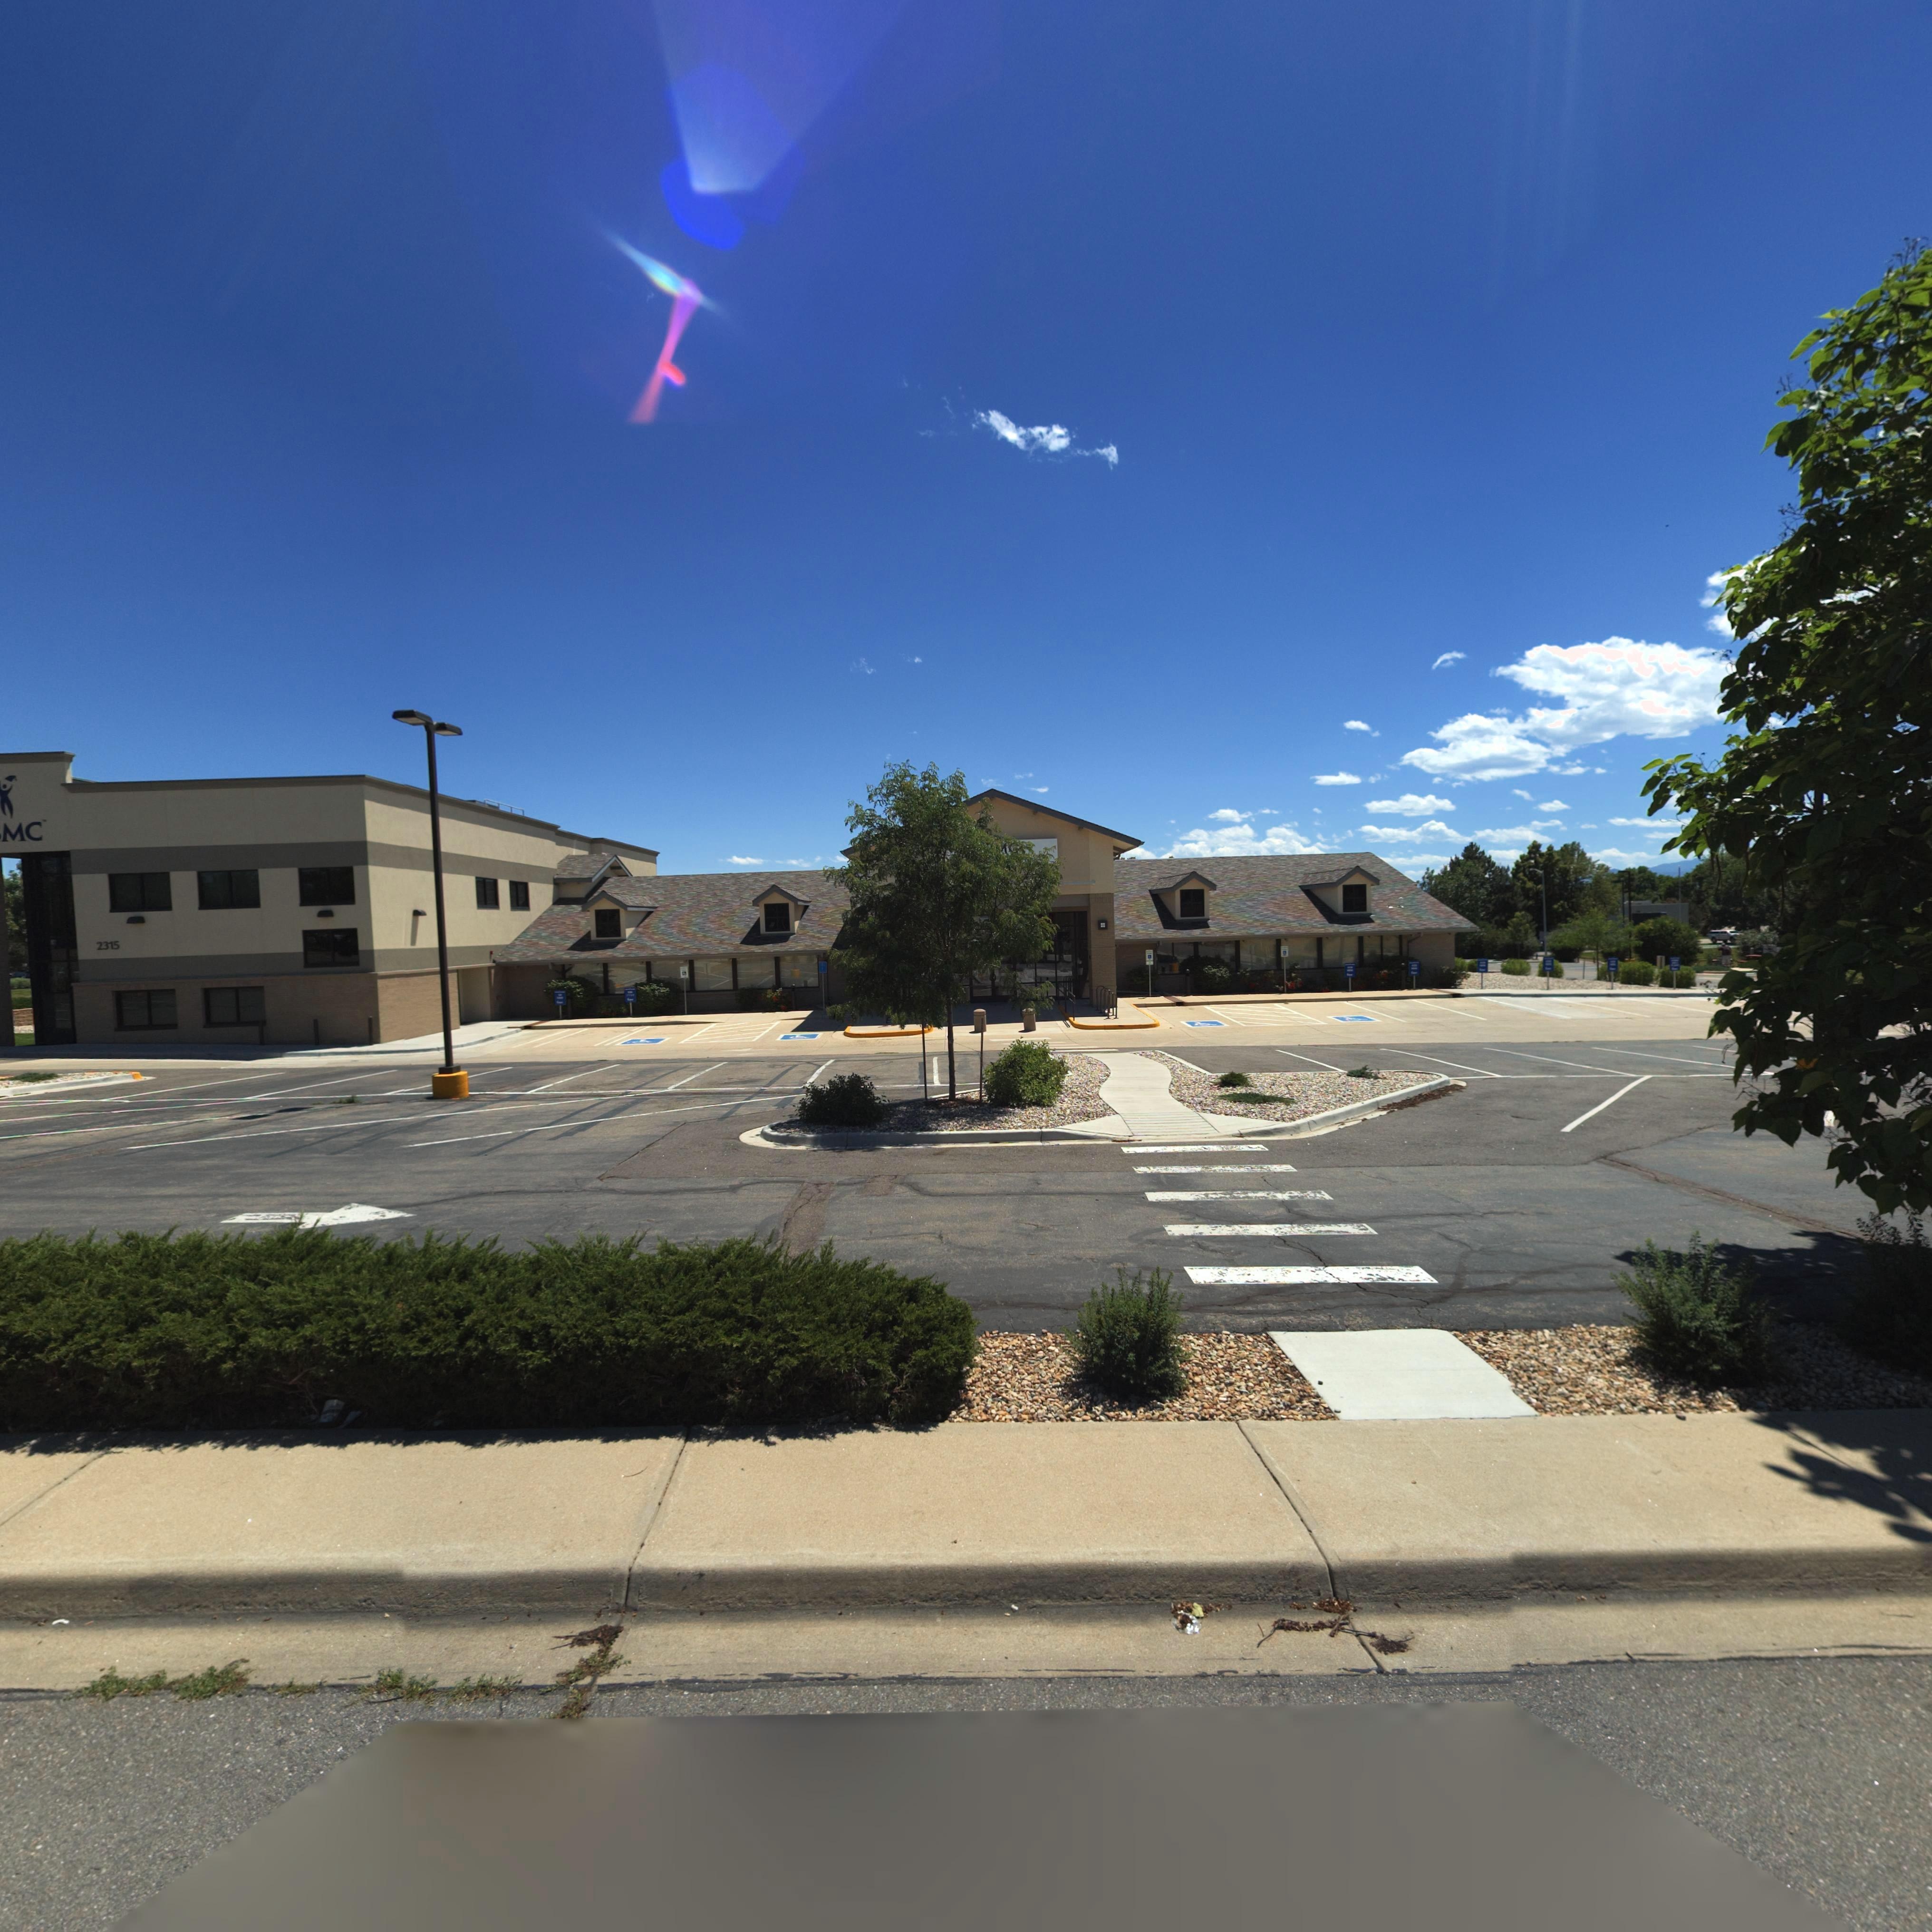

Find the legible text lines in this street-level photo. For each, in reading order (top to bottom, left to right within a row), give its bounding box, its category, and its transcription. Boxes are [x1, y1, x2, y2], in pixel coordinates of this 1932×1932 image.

[1, 820, 44, 843] BusinessName: MC
[95, 940, 120, 950] StreetNumber: 2315